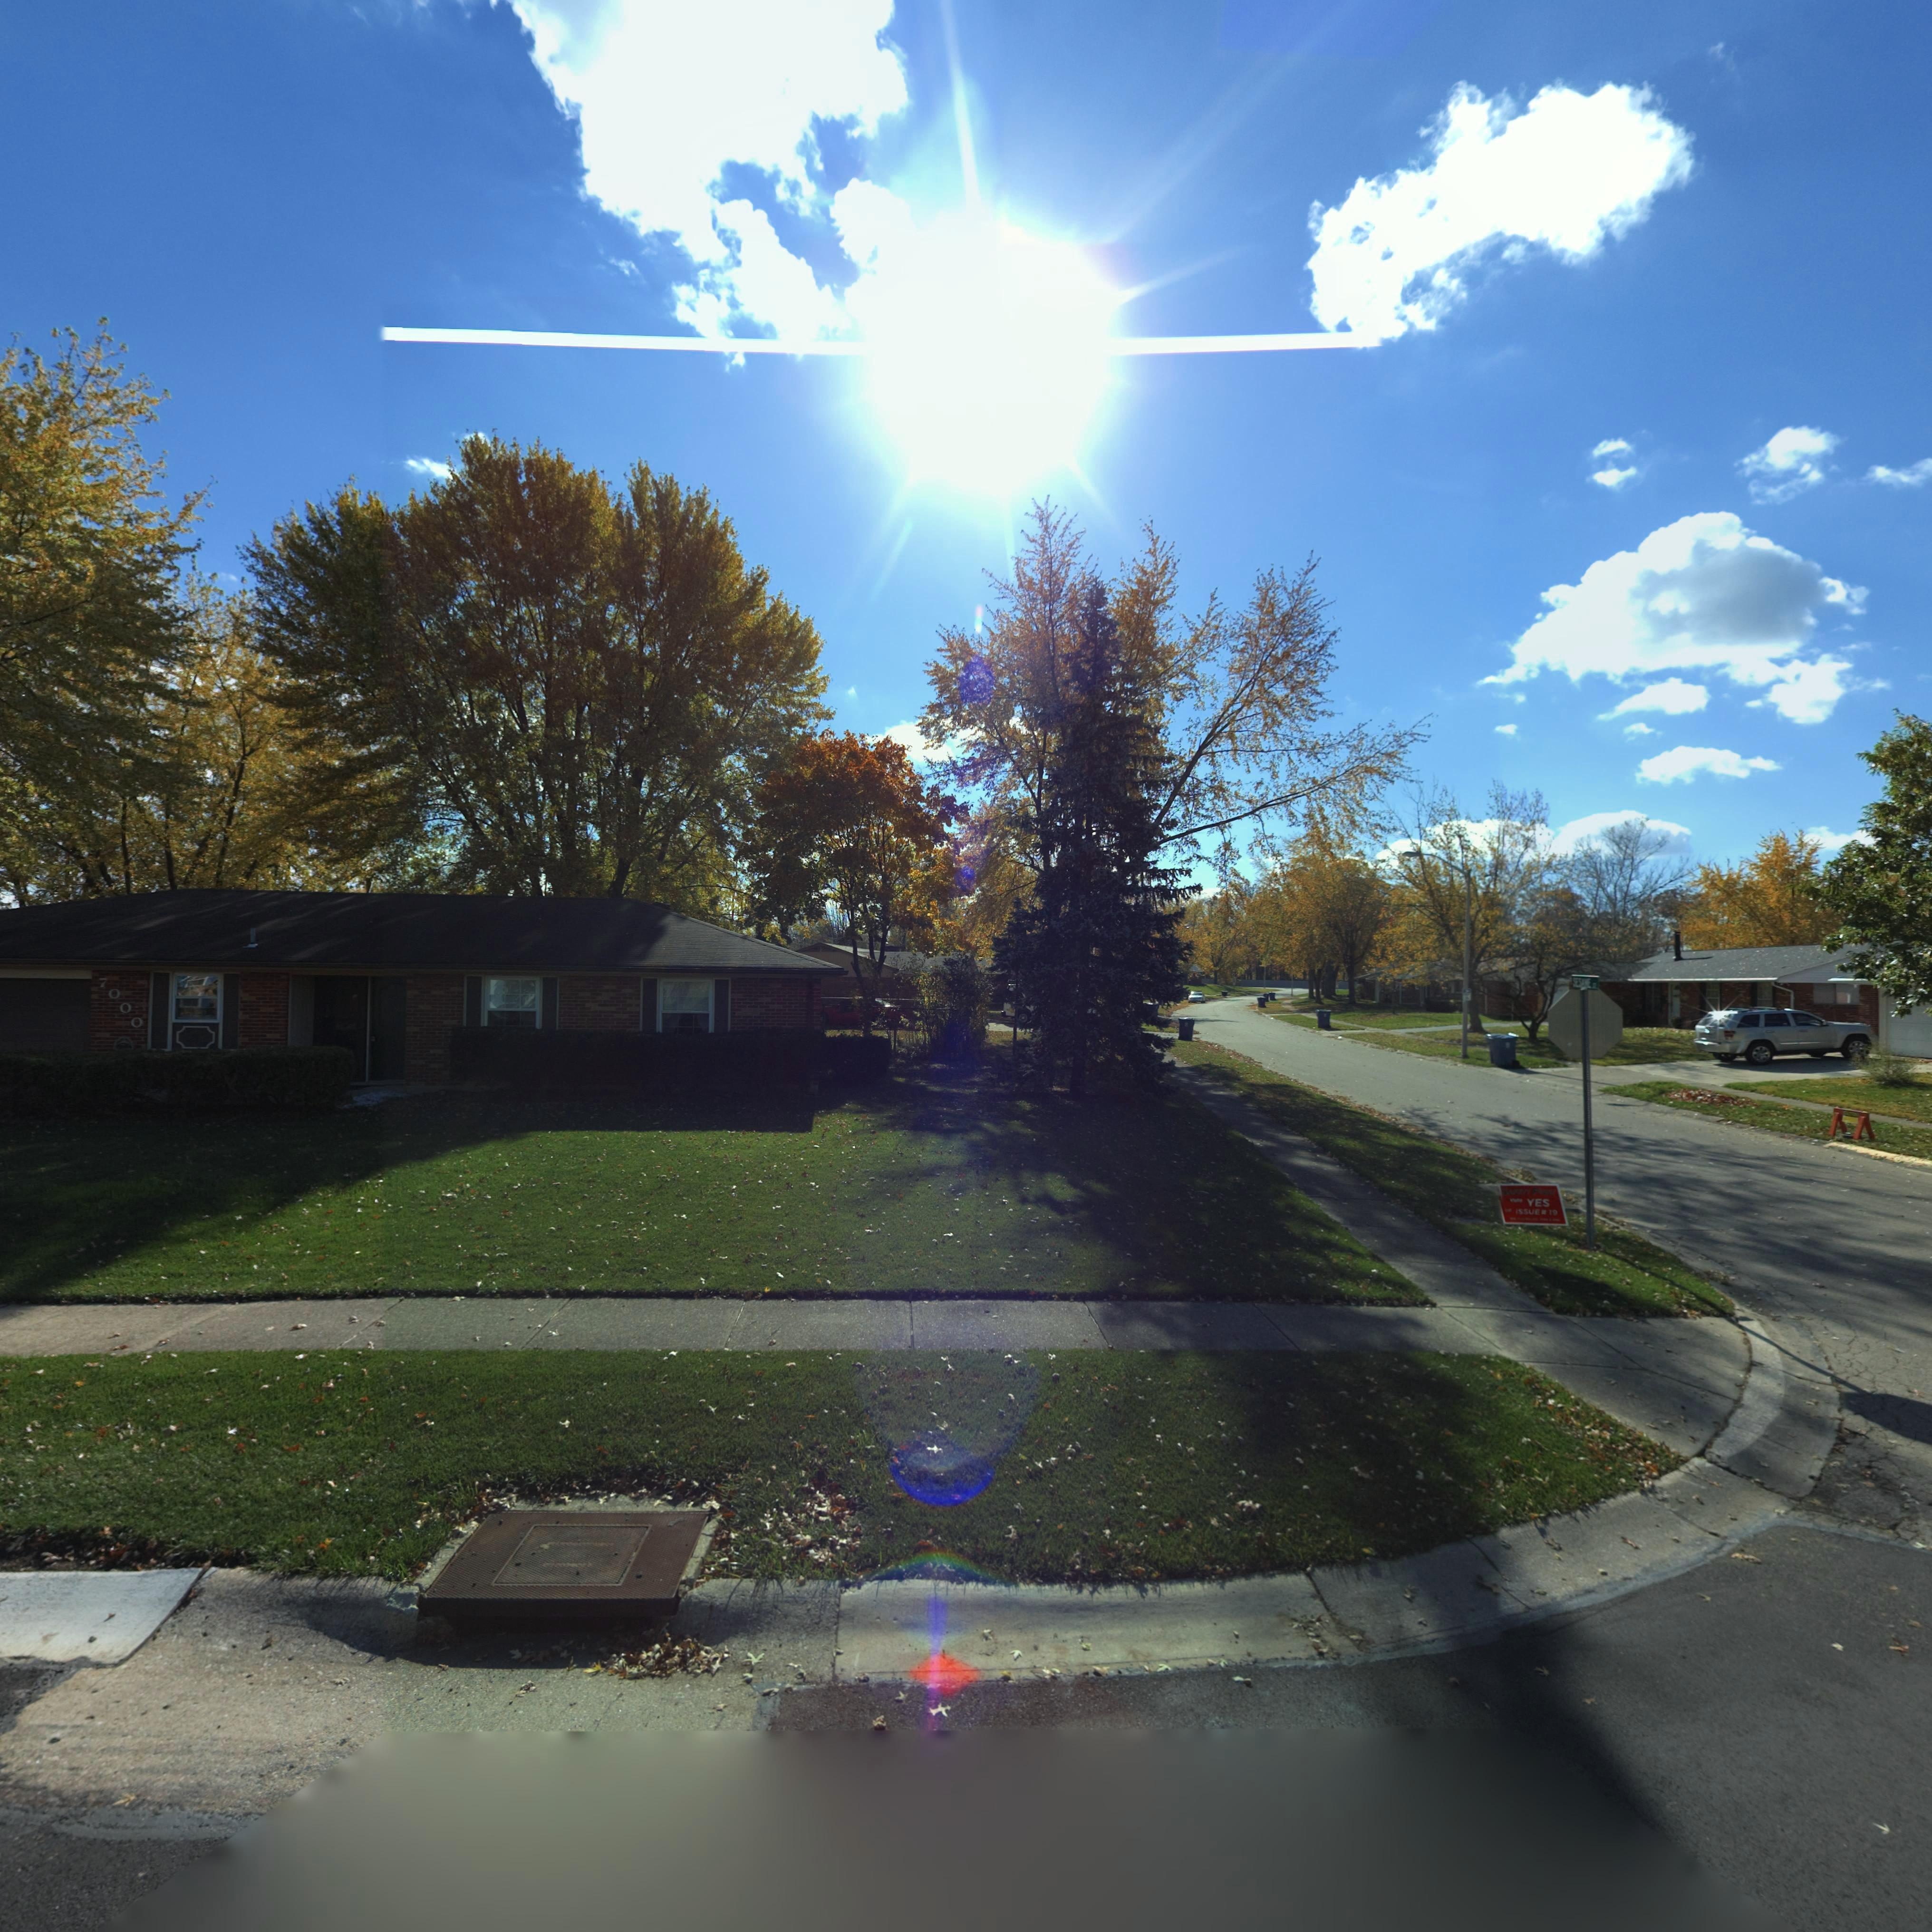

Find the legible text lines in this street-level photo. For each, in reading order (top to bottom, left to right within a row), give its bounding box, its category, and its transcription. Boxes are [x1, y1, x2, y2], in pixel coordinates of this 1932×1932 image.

[97, 976, 145, 1030] StreetNumber: 7000